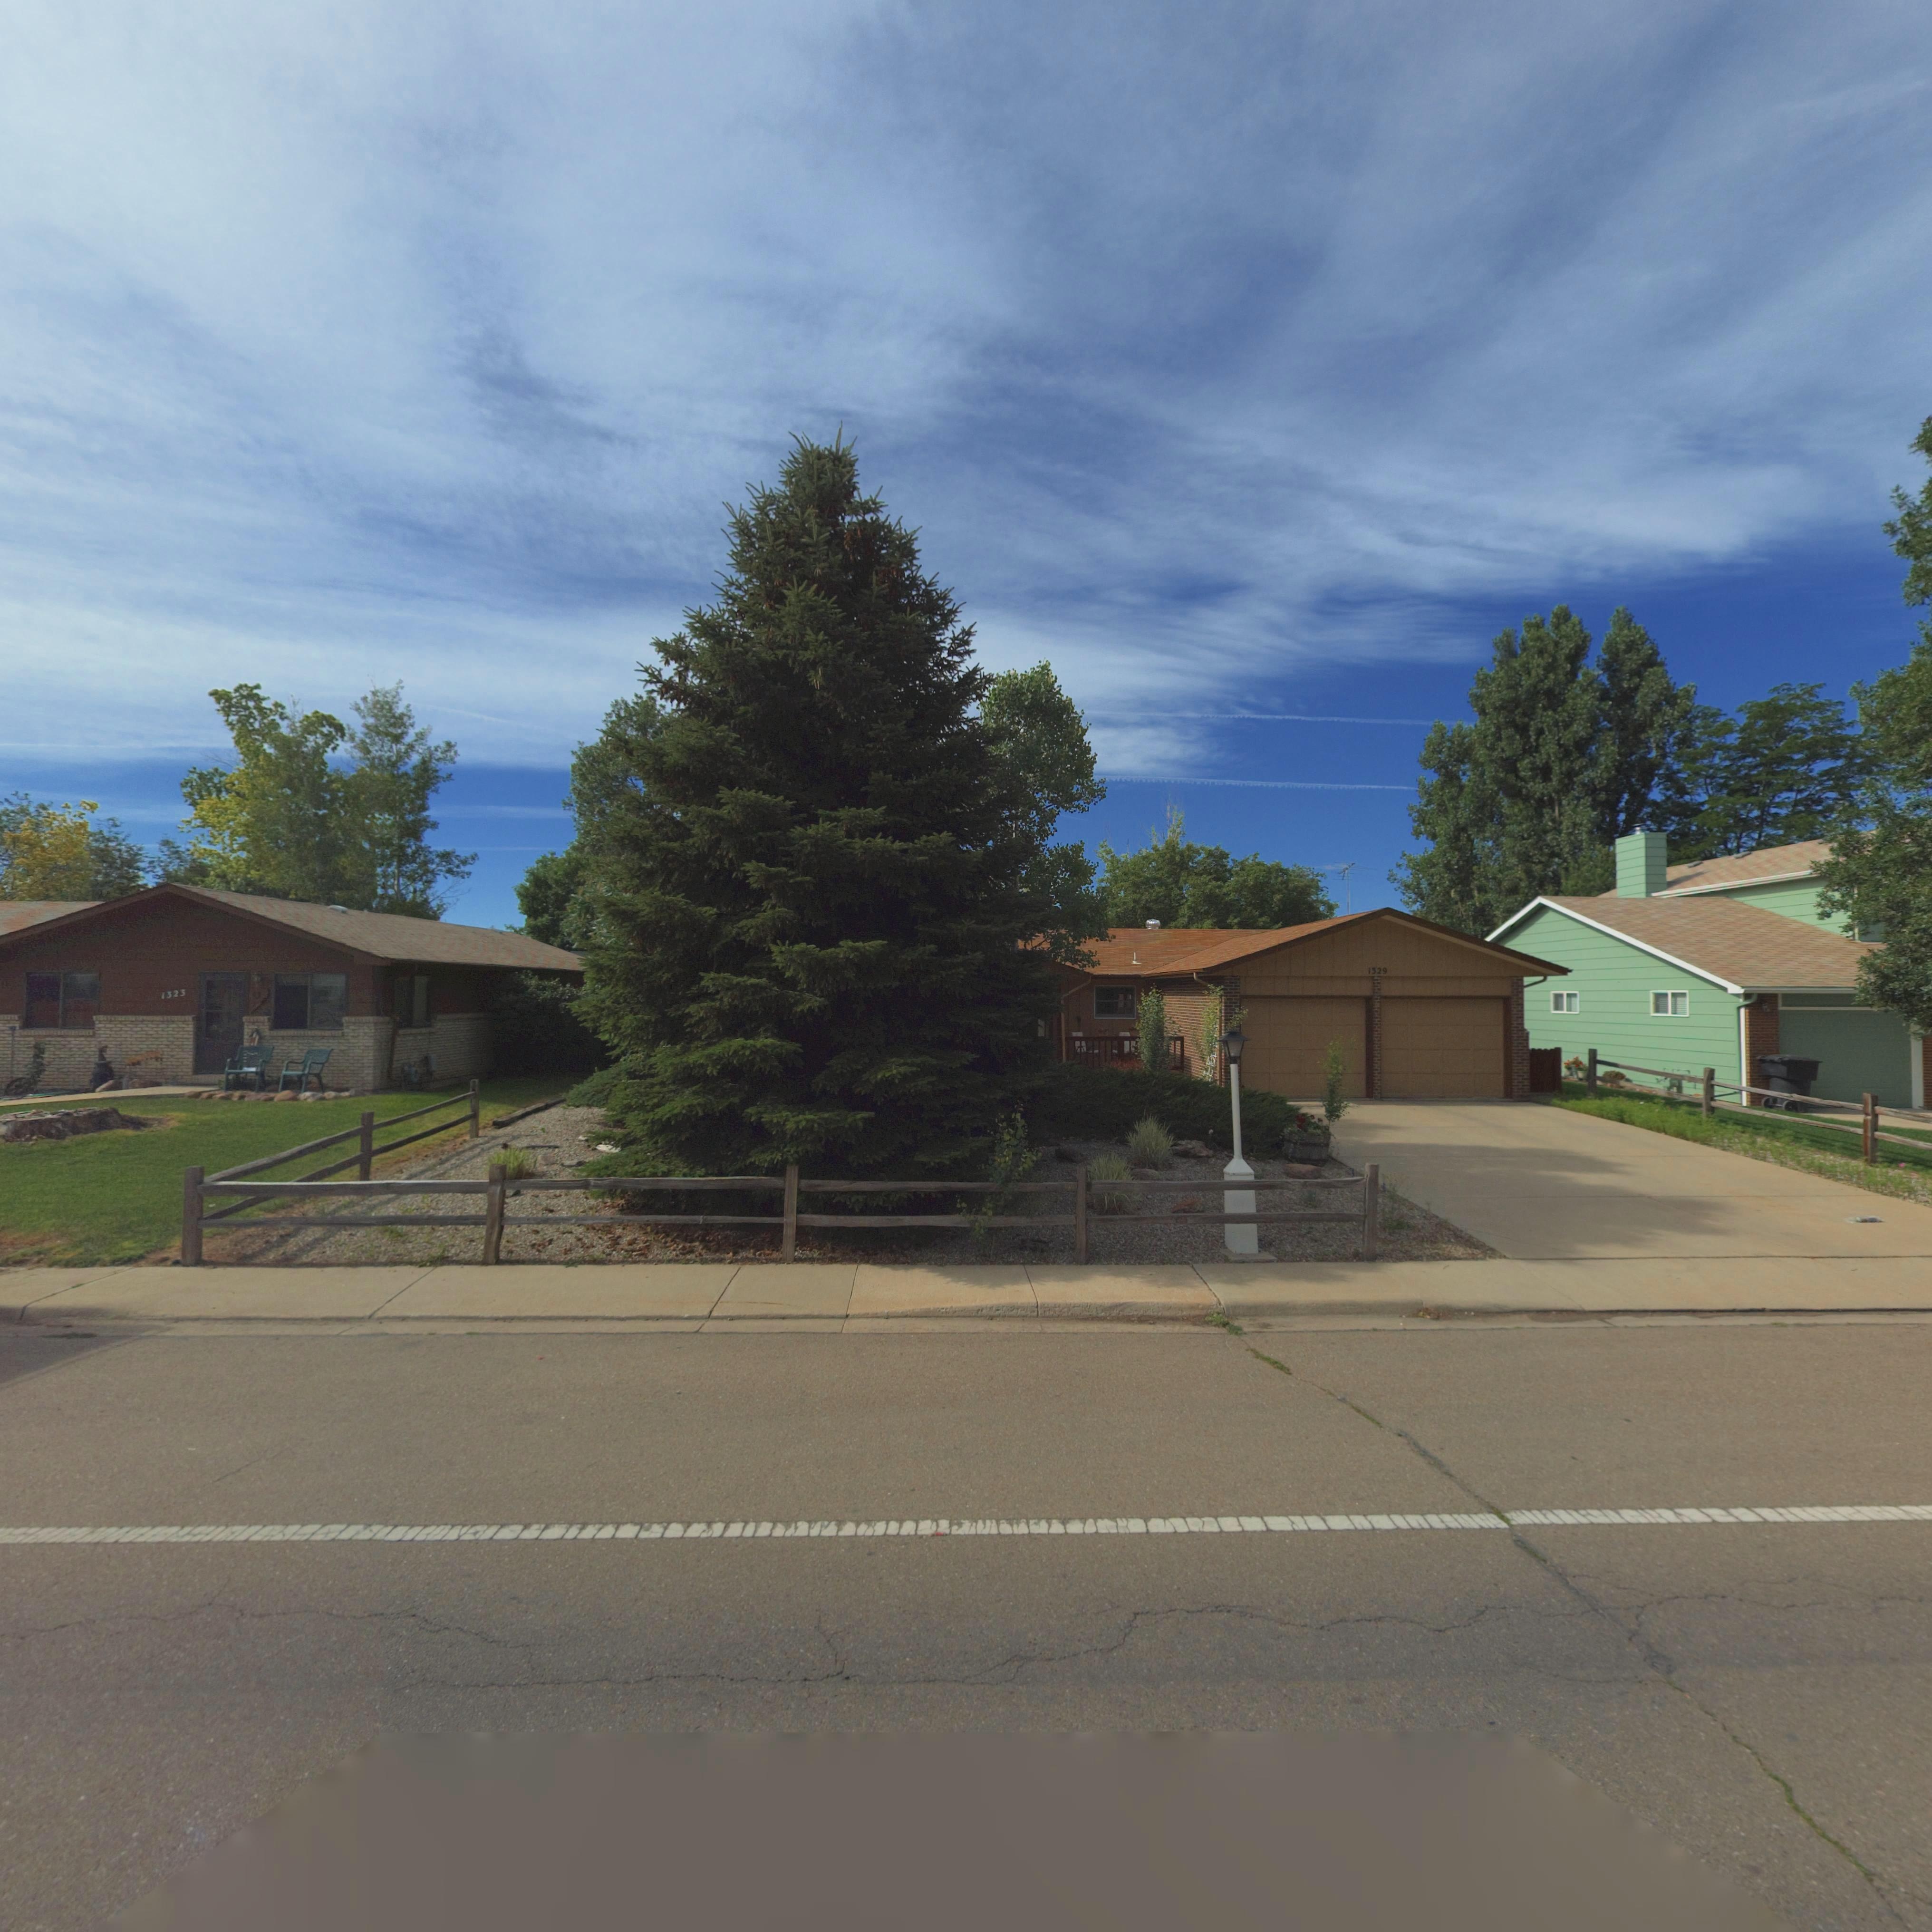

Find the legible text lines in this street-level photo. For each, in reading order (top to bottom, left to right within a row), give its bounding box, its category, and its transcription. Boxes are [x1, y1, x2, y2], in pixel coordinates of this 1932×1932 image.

[1367, 966, 1388, 975] StreetNumber: 1329
[161, 988, 185, 1000] StreetNumber: 1323